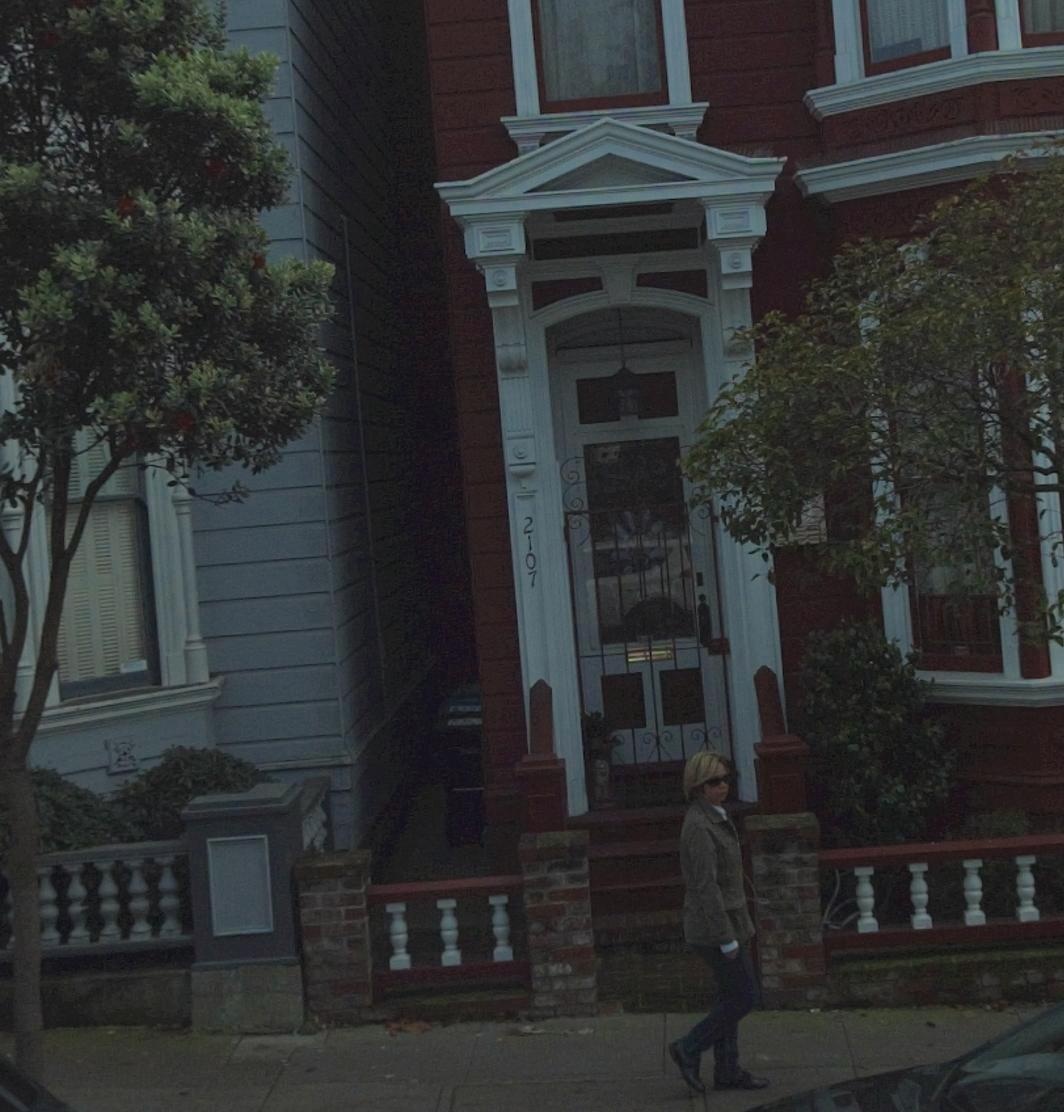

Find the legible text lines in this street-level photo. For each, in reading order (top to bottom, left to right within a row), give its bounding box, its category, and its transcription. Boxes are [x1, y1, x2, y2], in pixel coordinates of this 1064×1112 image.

[520, 513, 540, 593] StreetNumber: 2107